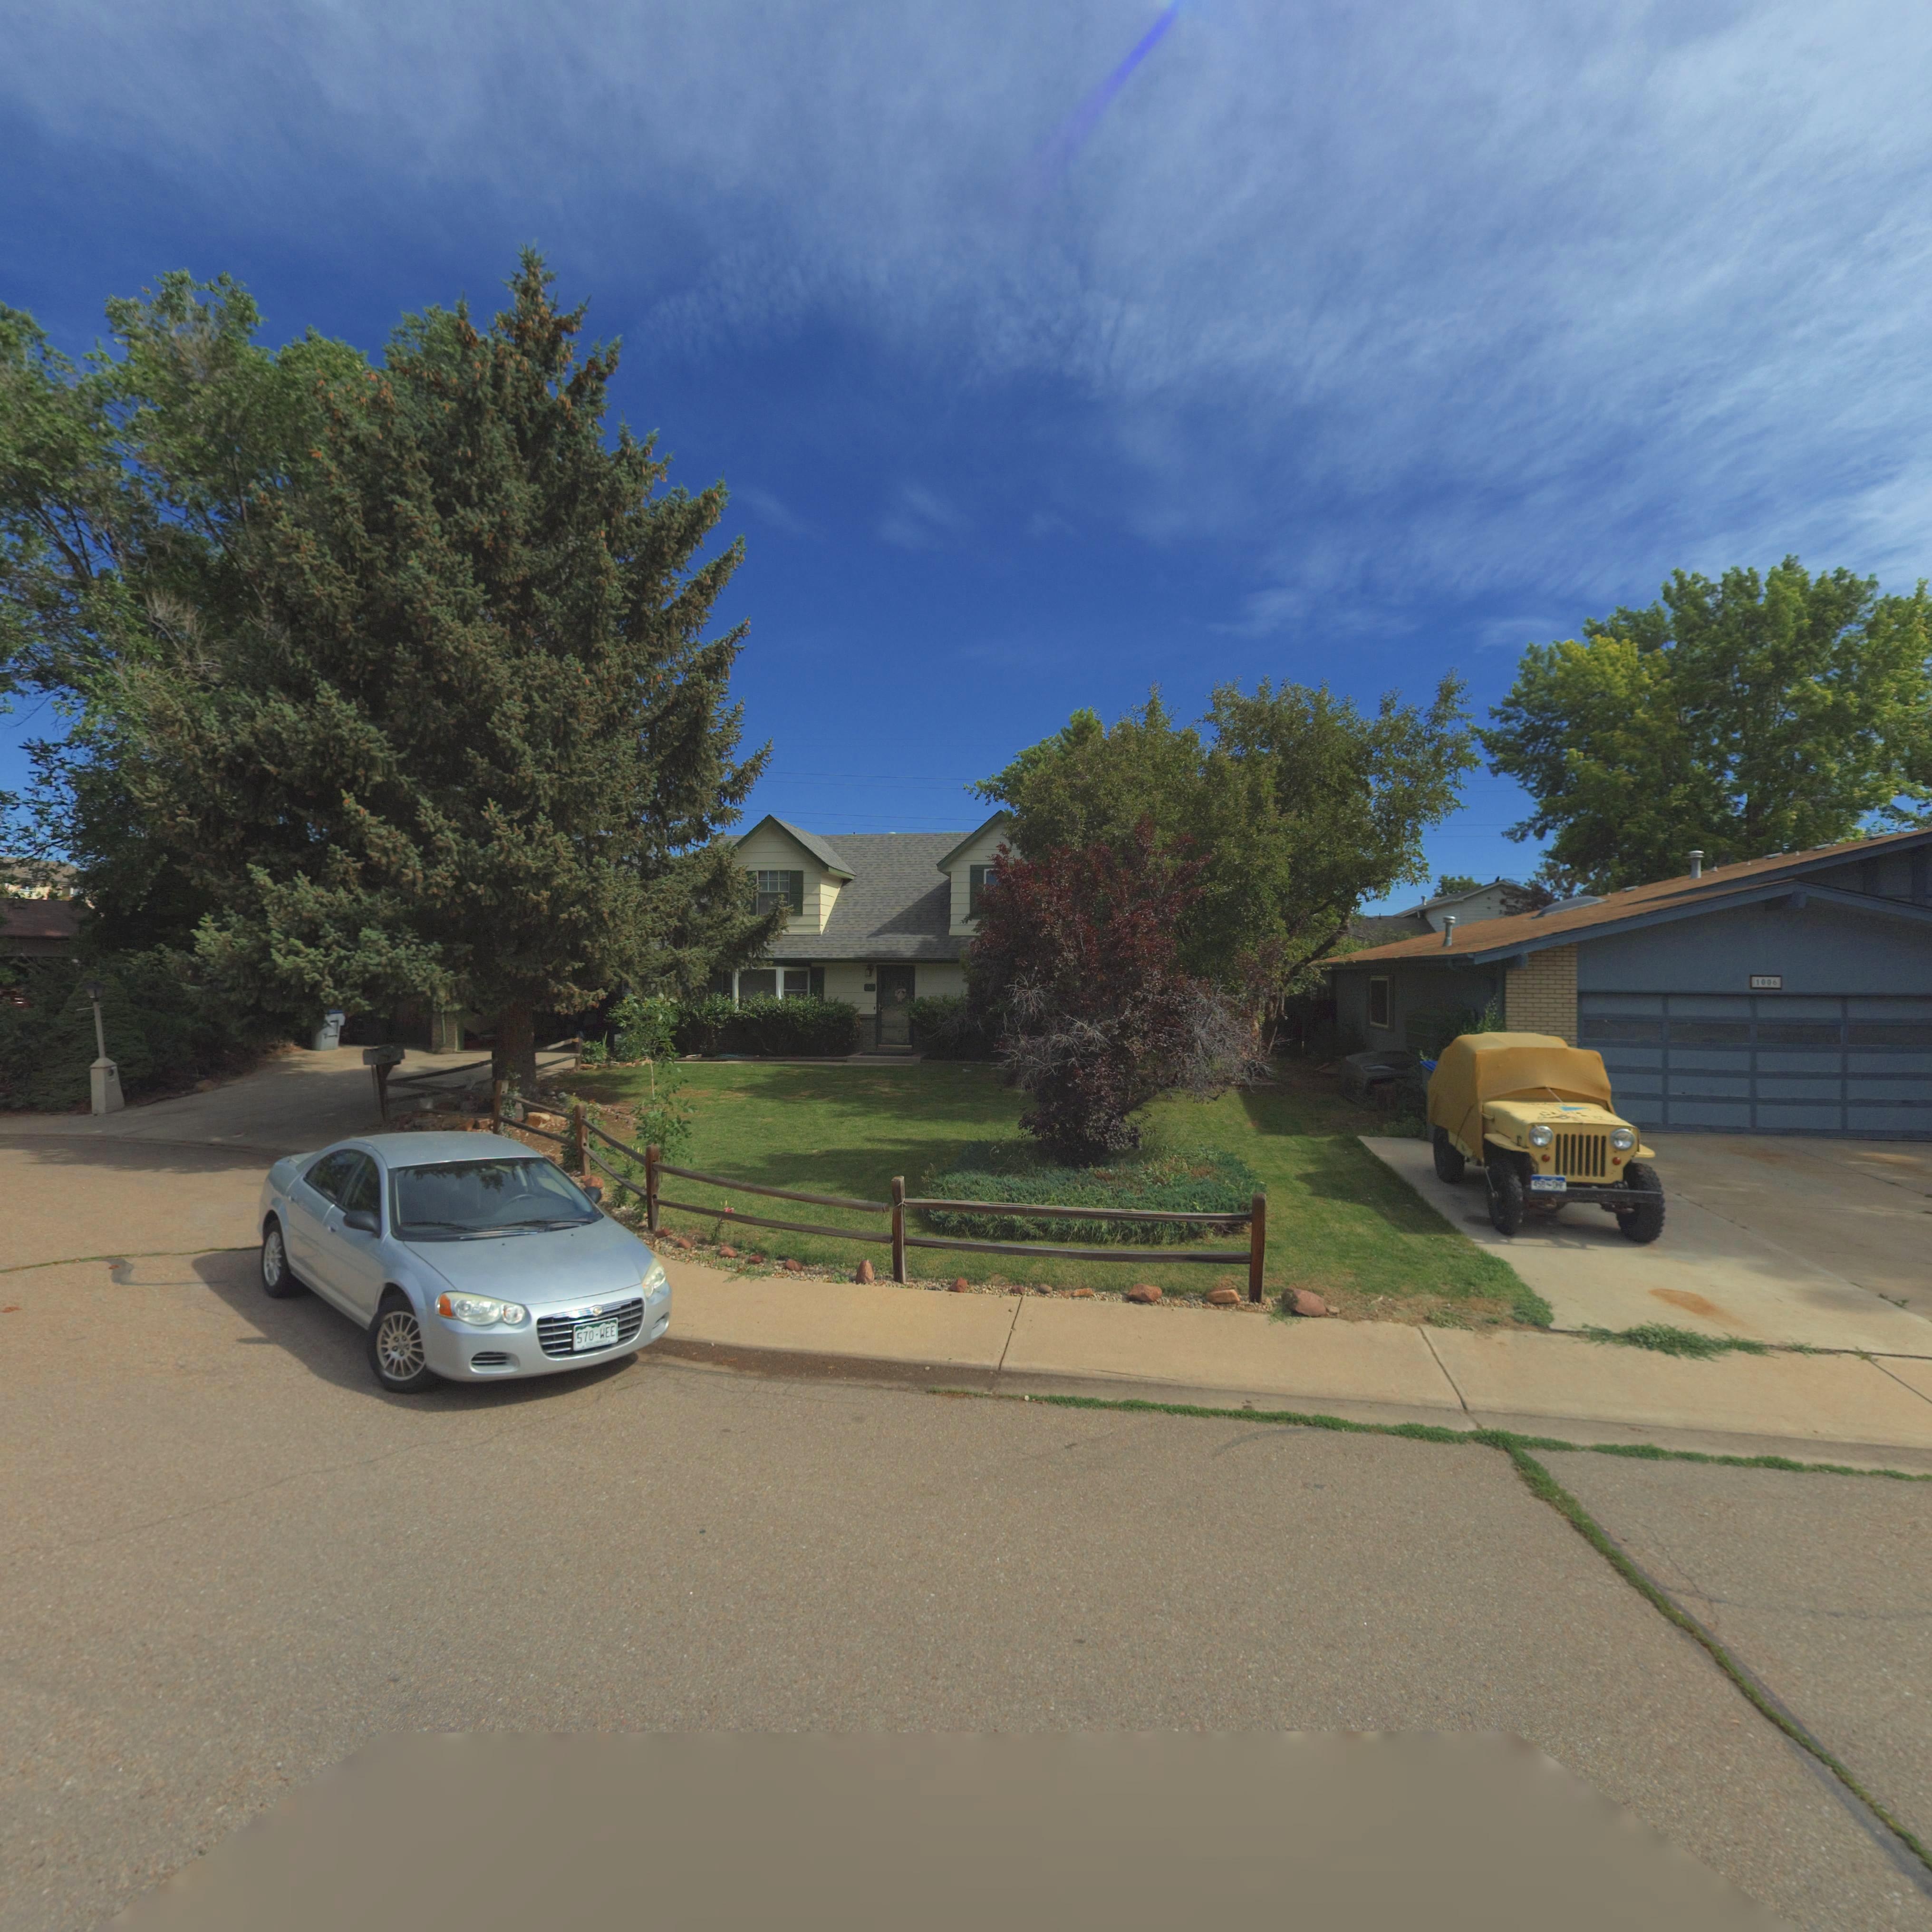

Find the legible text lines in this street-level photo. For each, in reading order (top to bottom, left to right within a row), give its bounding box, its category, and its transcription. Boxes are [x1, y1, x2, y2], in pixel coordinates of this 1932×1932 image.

[1756, 978, 1777, 985] StreetNumber: 1006